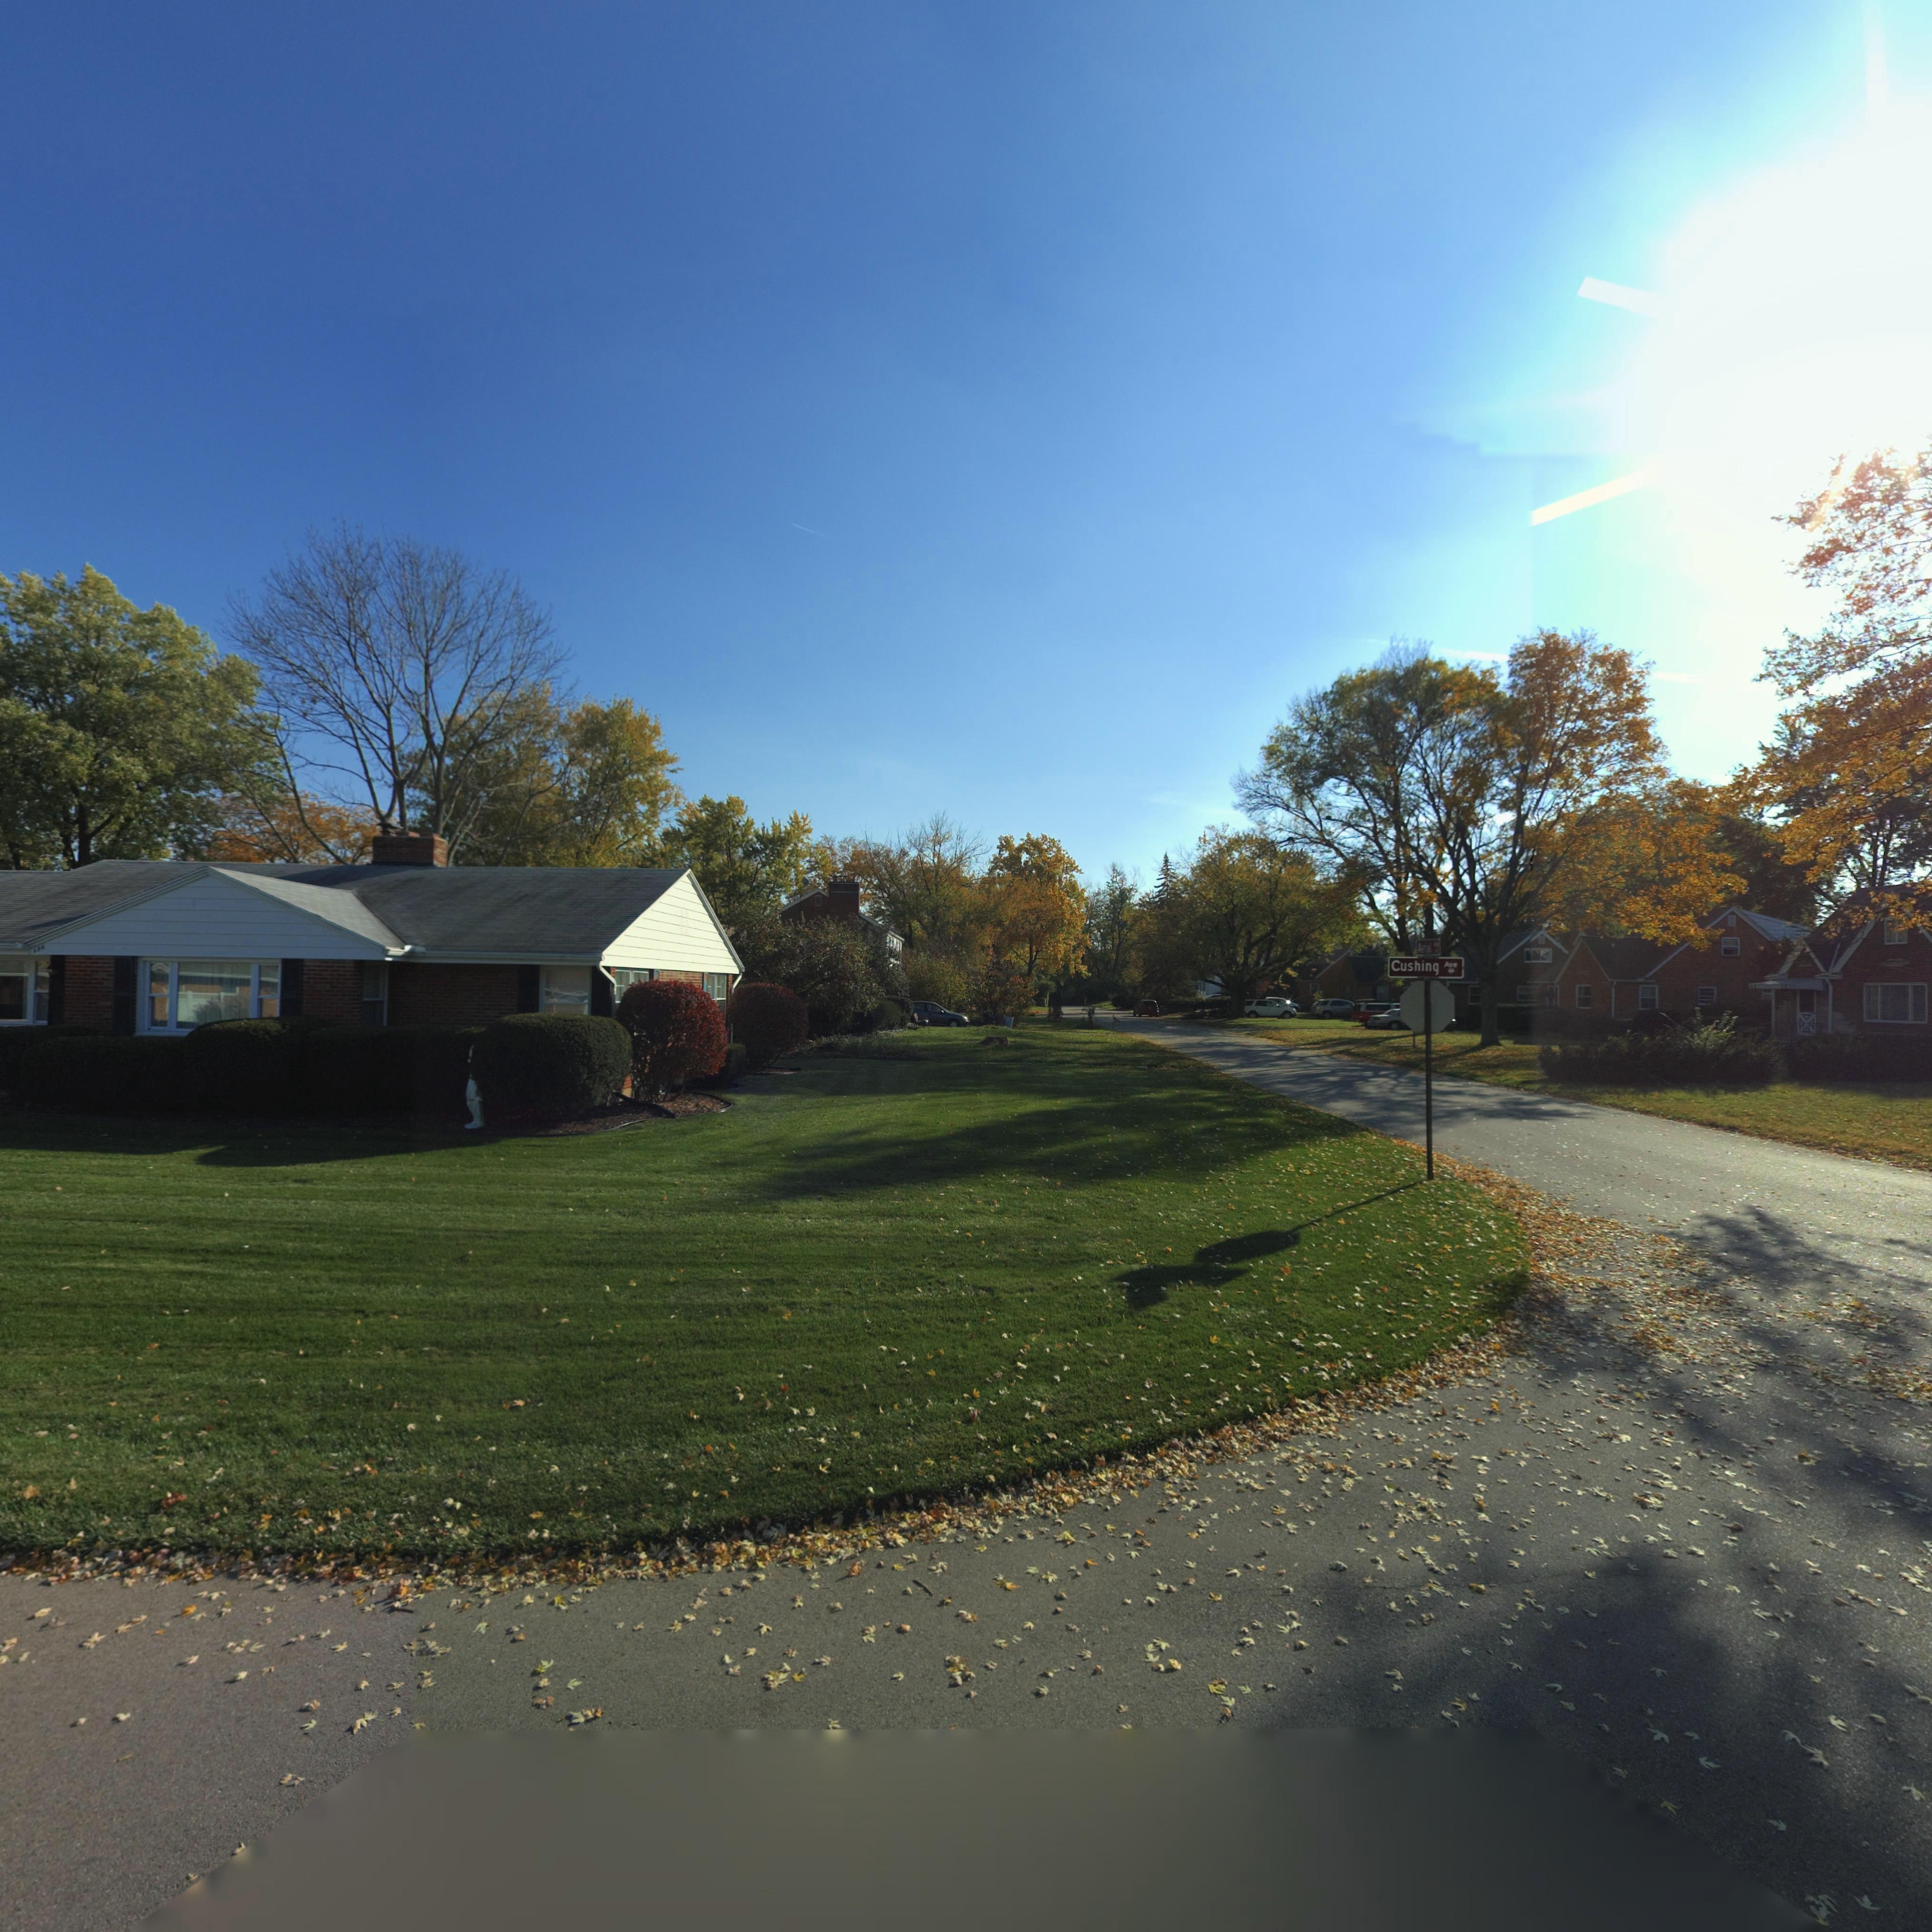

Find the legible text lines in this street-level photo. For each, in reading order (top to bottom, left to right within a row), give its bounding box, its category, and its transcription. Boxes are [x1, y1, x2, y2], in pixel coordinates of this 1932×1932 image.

[32, 944, 45, 954] StreetNumber: 600
[1416, 941, 1432, 955] StreetName: Aerial
[1390, 959, 1458, 976] StreetName: Cushing Ave